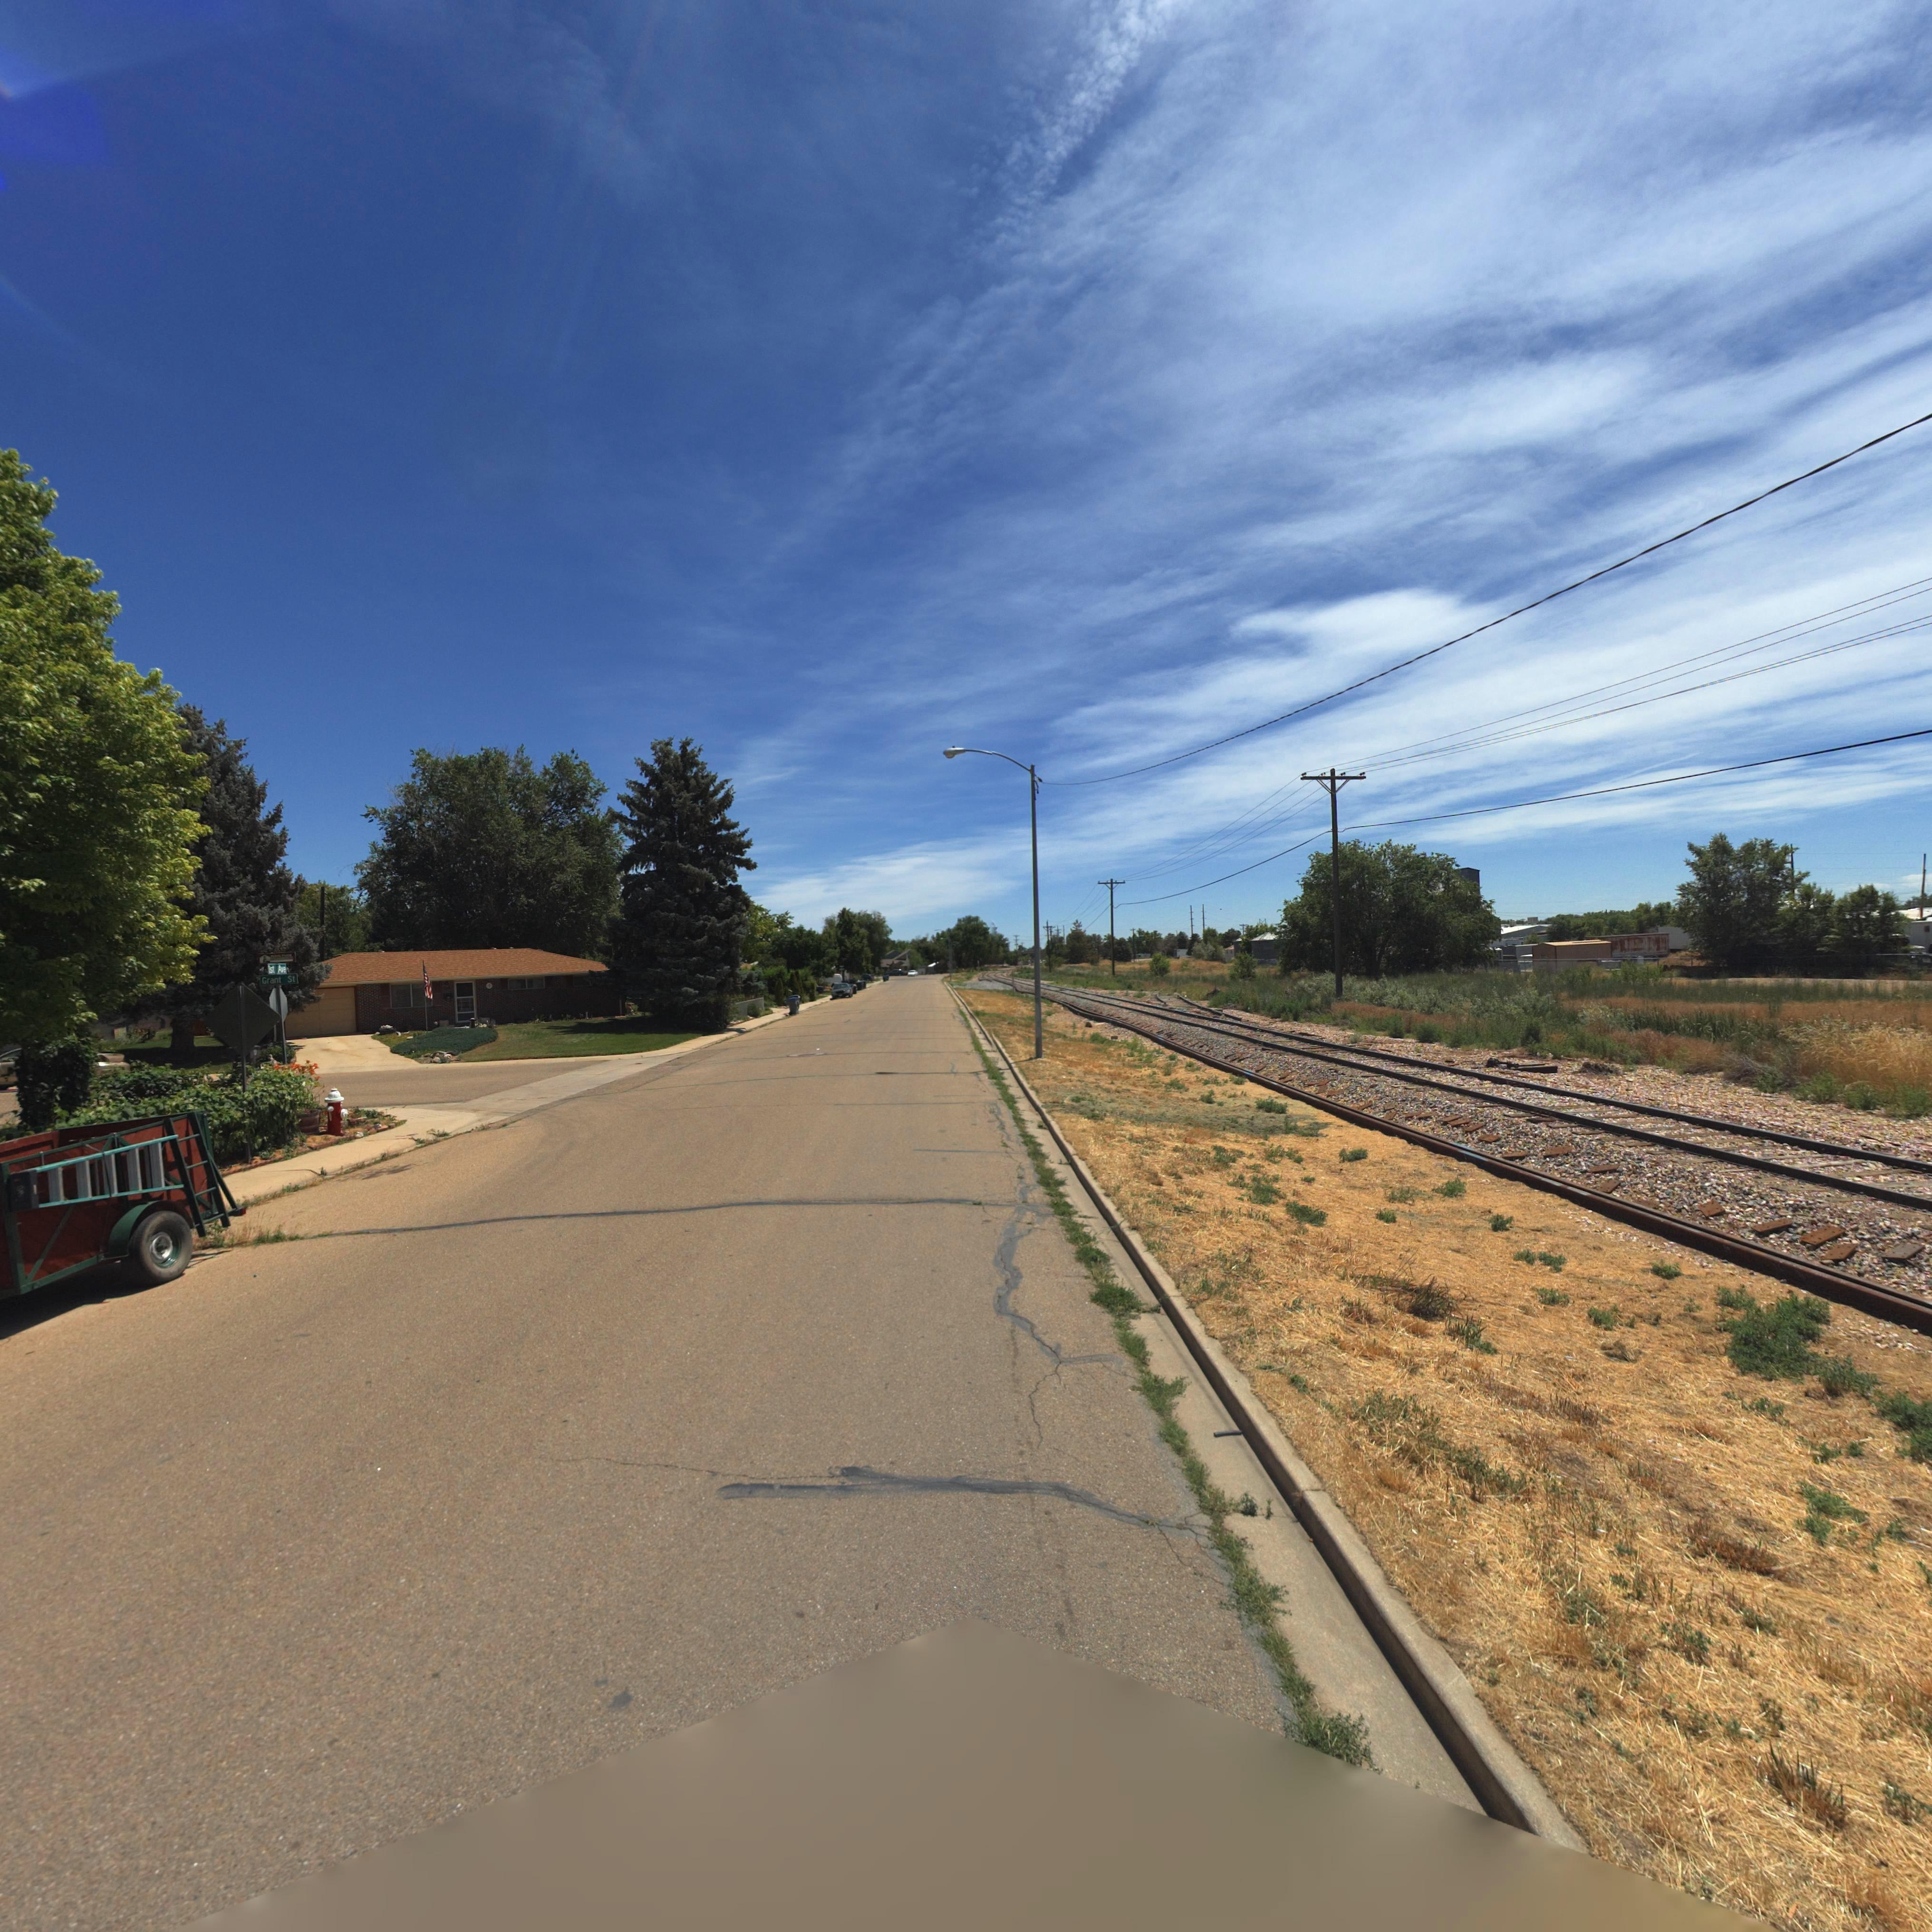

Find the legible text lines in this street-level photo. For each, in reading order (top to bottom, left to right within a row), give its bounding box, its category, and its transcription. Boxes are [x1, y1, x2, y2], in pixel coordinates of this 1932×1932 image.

[268, 964, 286, 974] StreetName: 1st Ave
[261, 975, 296, 984] StreetName: Grant St